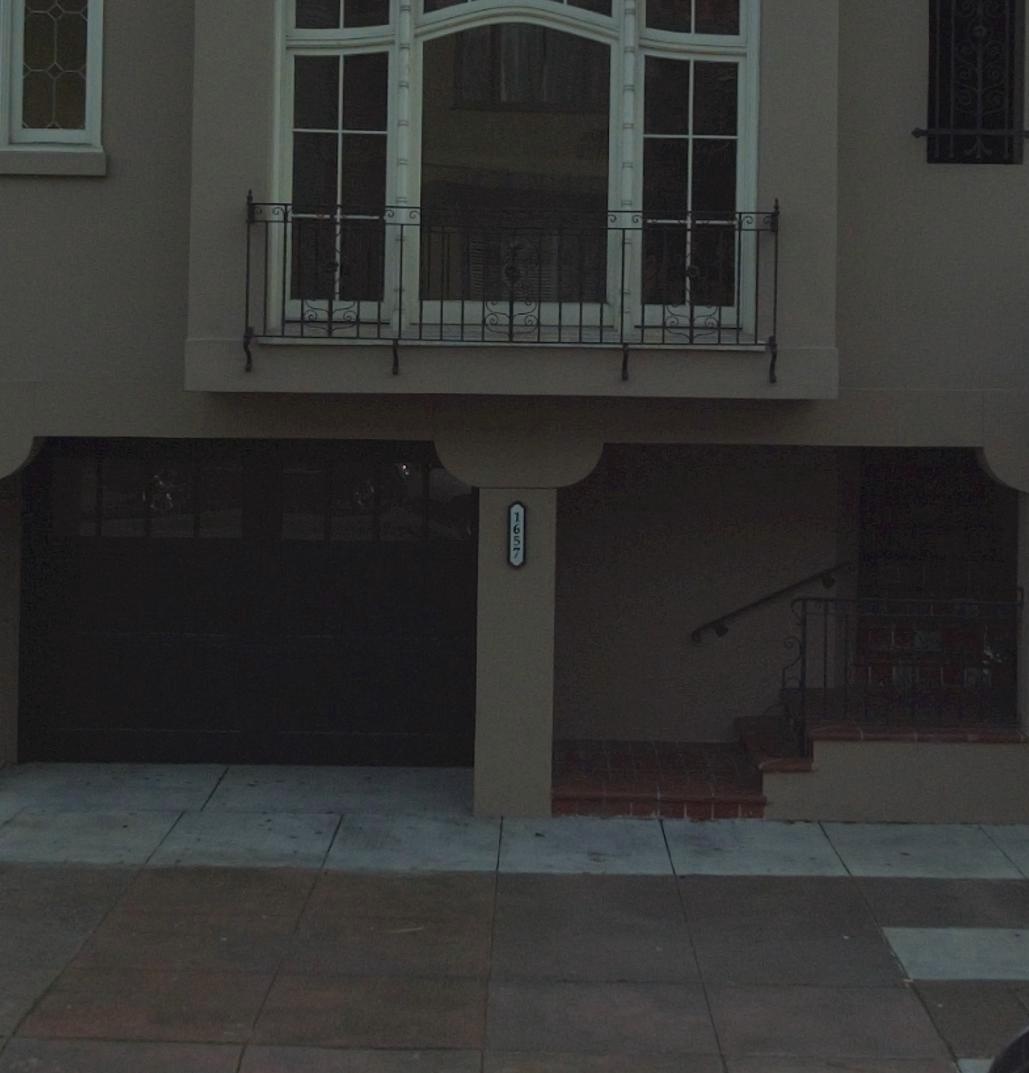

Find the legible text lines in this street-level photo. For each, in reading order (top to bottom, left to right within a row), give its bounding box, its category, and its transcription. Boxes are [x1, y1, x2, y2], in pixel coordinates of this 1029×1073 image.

[511, 509, 523, 561] StreetNumber: 1657